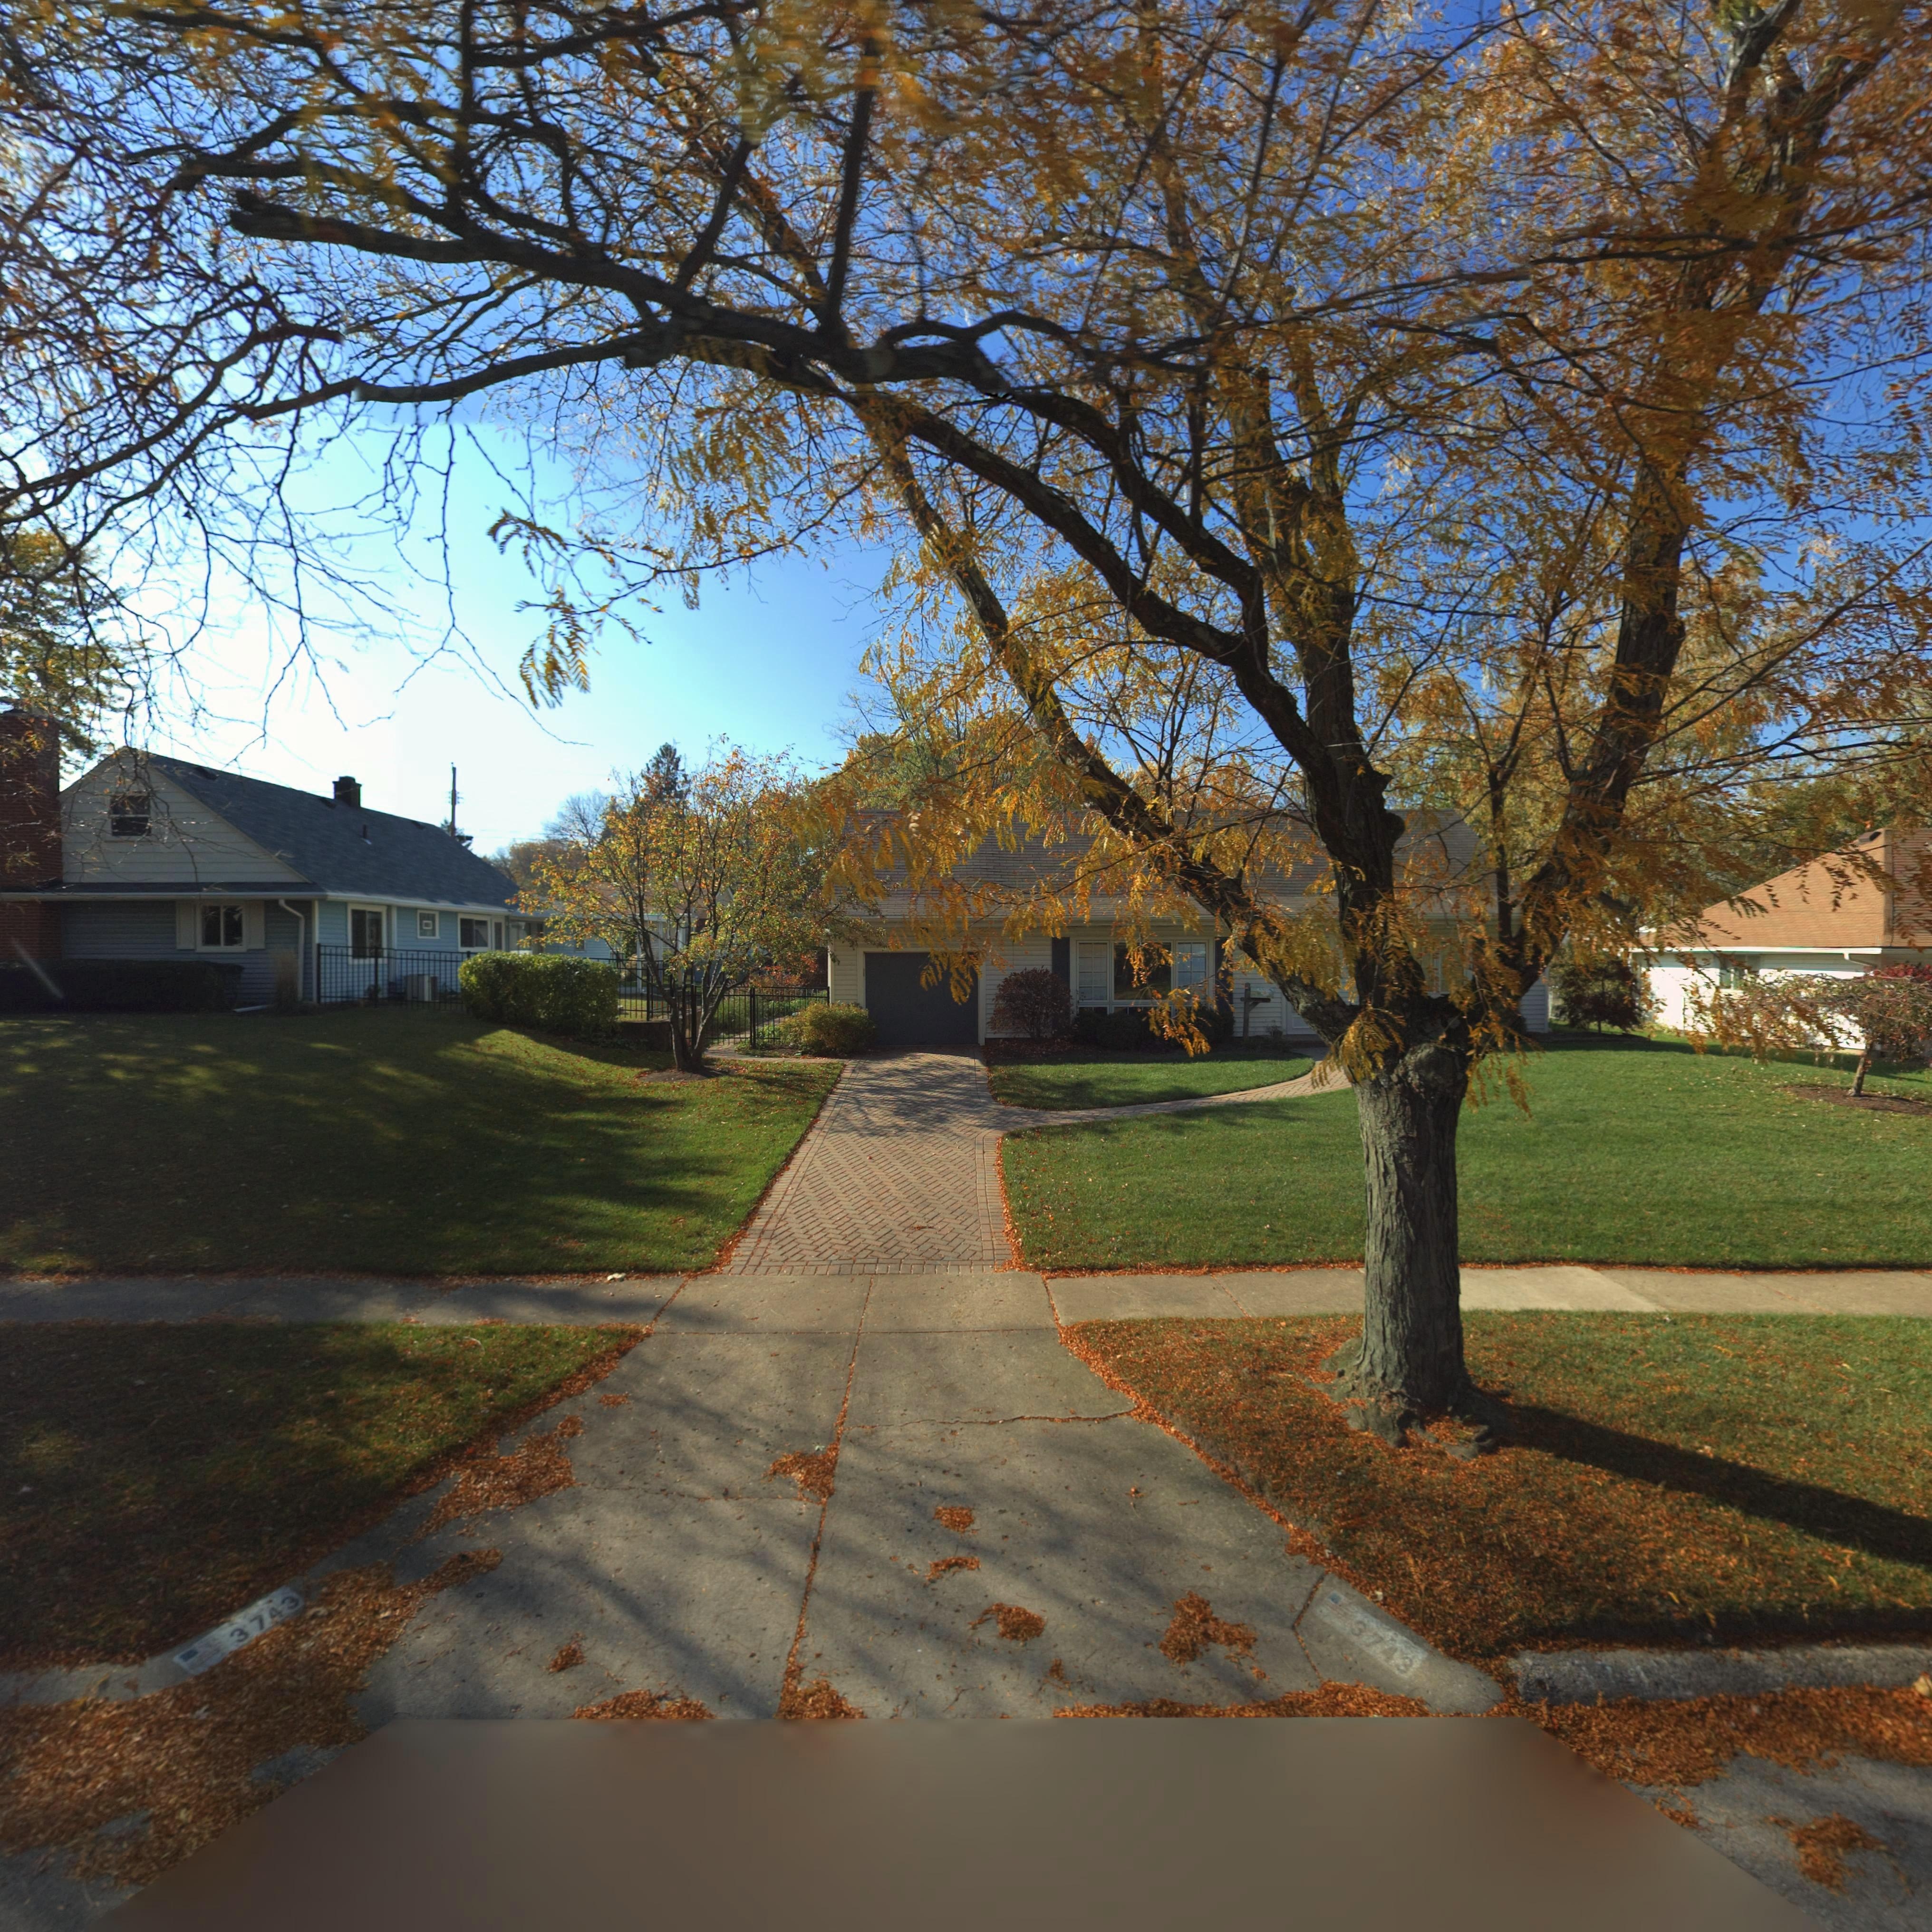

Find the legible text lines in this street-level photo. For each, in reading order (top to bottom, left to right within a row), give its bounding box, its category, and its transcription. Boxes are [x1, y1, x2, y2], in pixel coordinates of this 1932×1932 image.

[229, 1594, 300, 1643] StreetNumber: 3743
[1348, 1619, 1416, 1675] StreetNumber: 3743